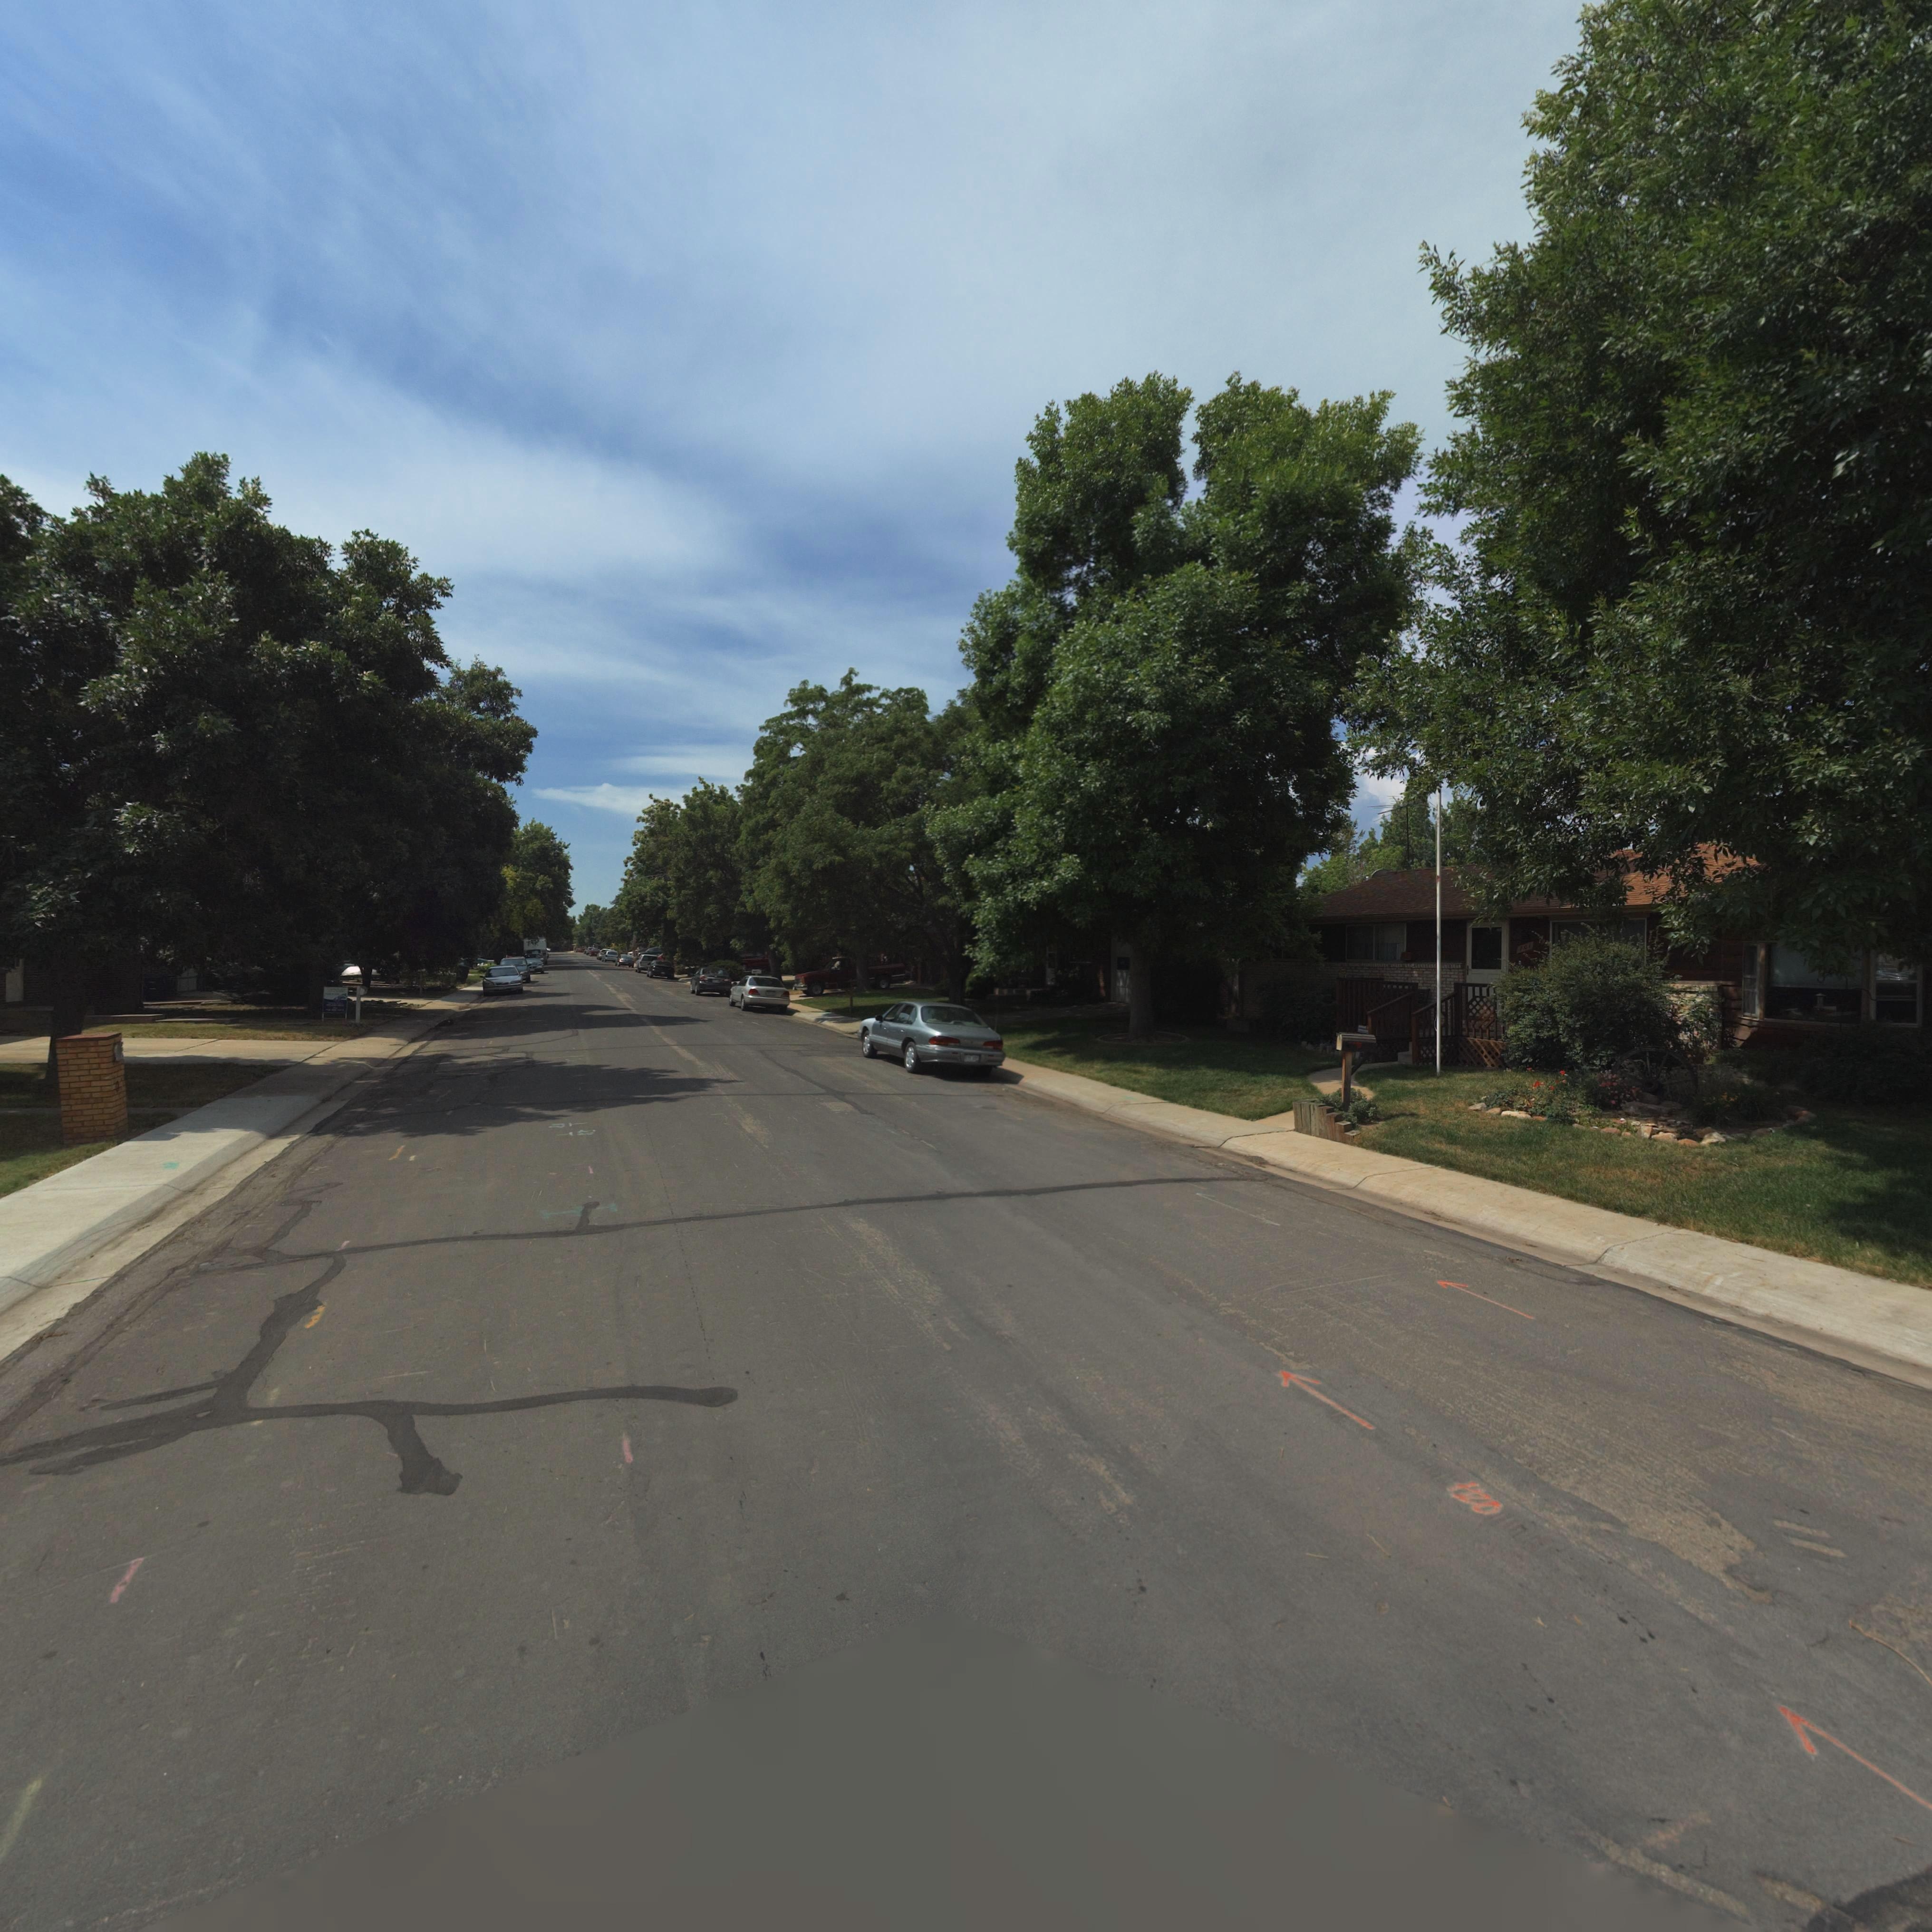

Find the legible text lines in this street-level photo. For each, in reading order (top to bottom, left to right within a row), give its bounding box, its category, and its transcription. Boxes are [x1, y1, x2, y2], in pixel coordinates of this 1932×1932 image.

[1519, 943, 1531, 951] StreetNumber: 701